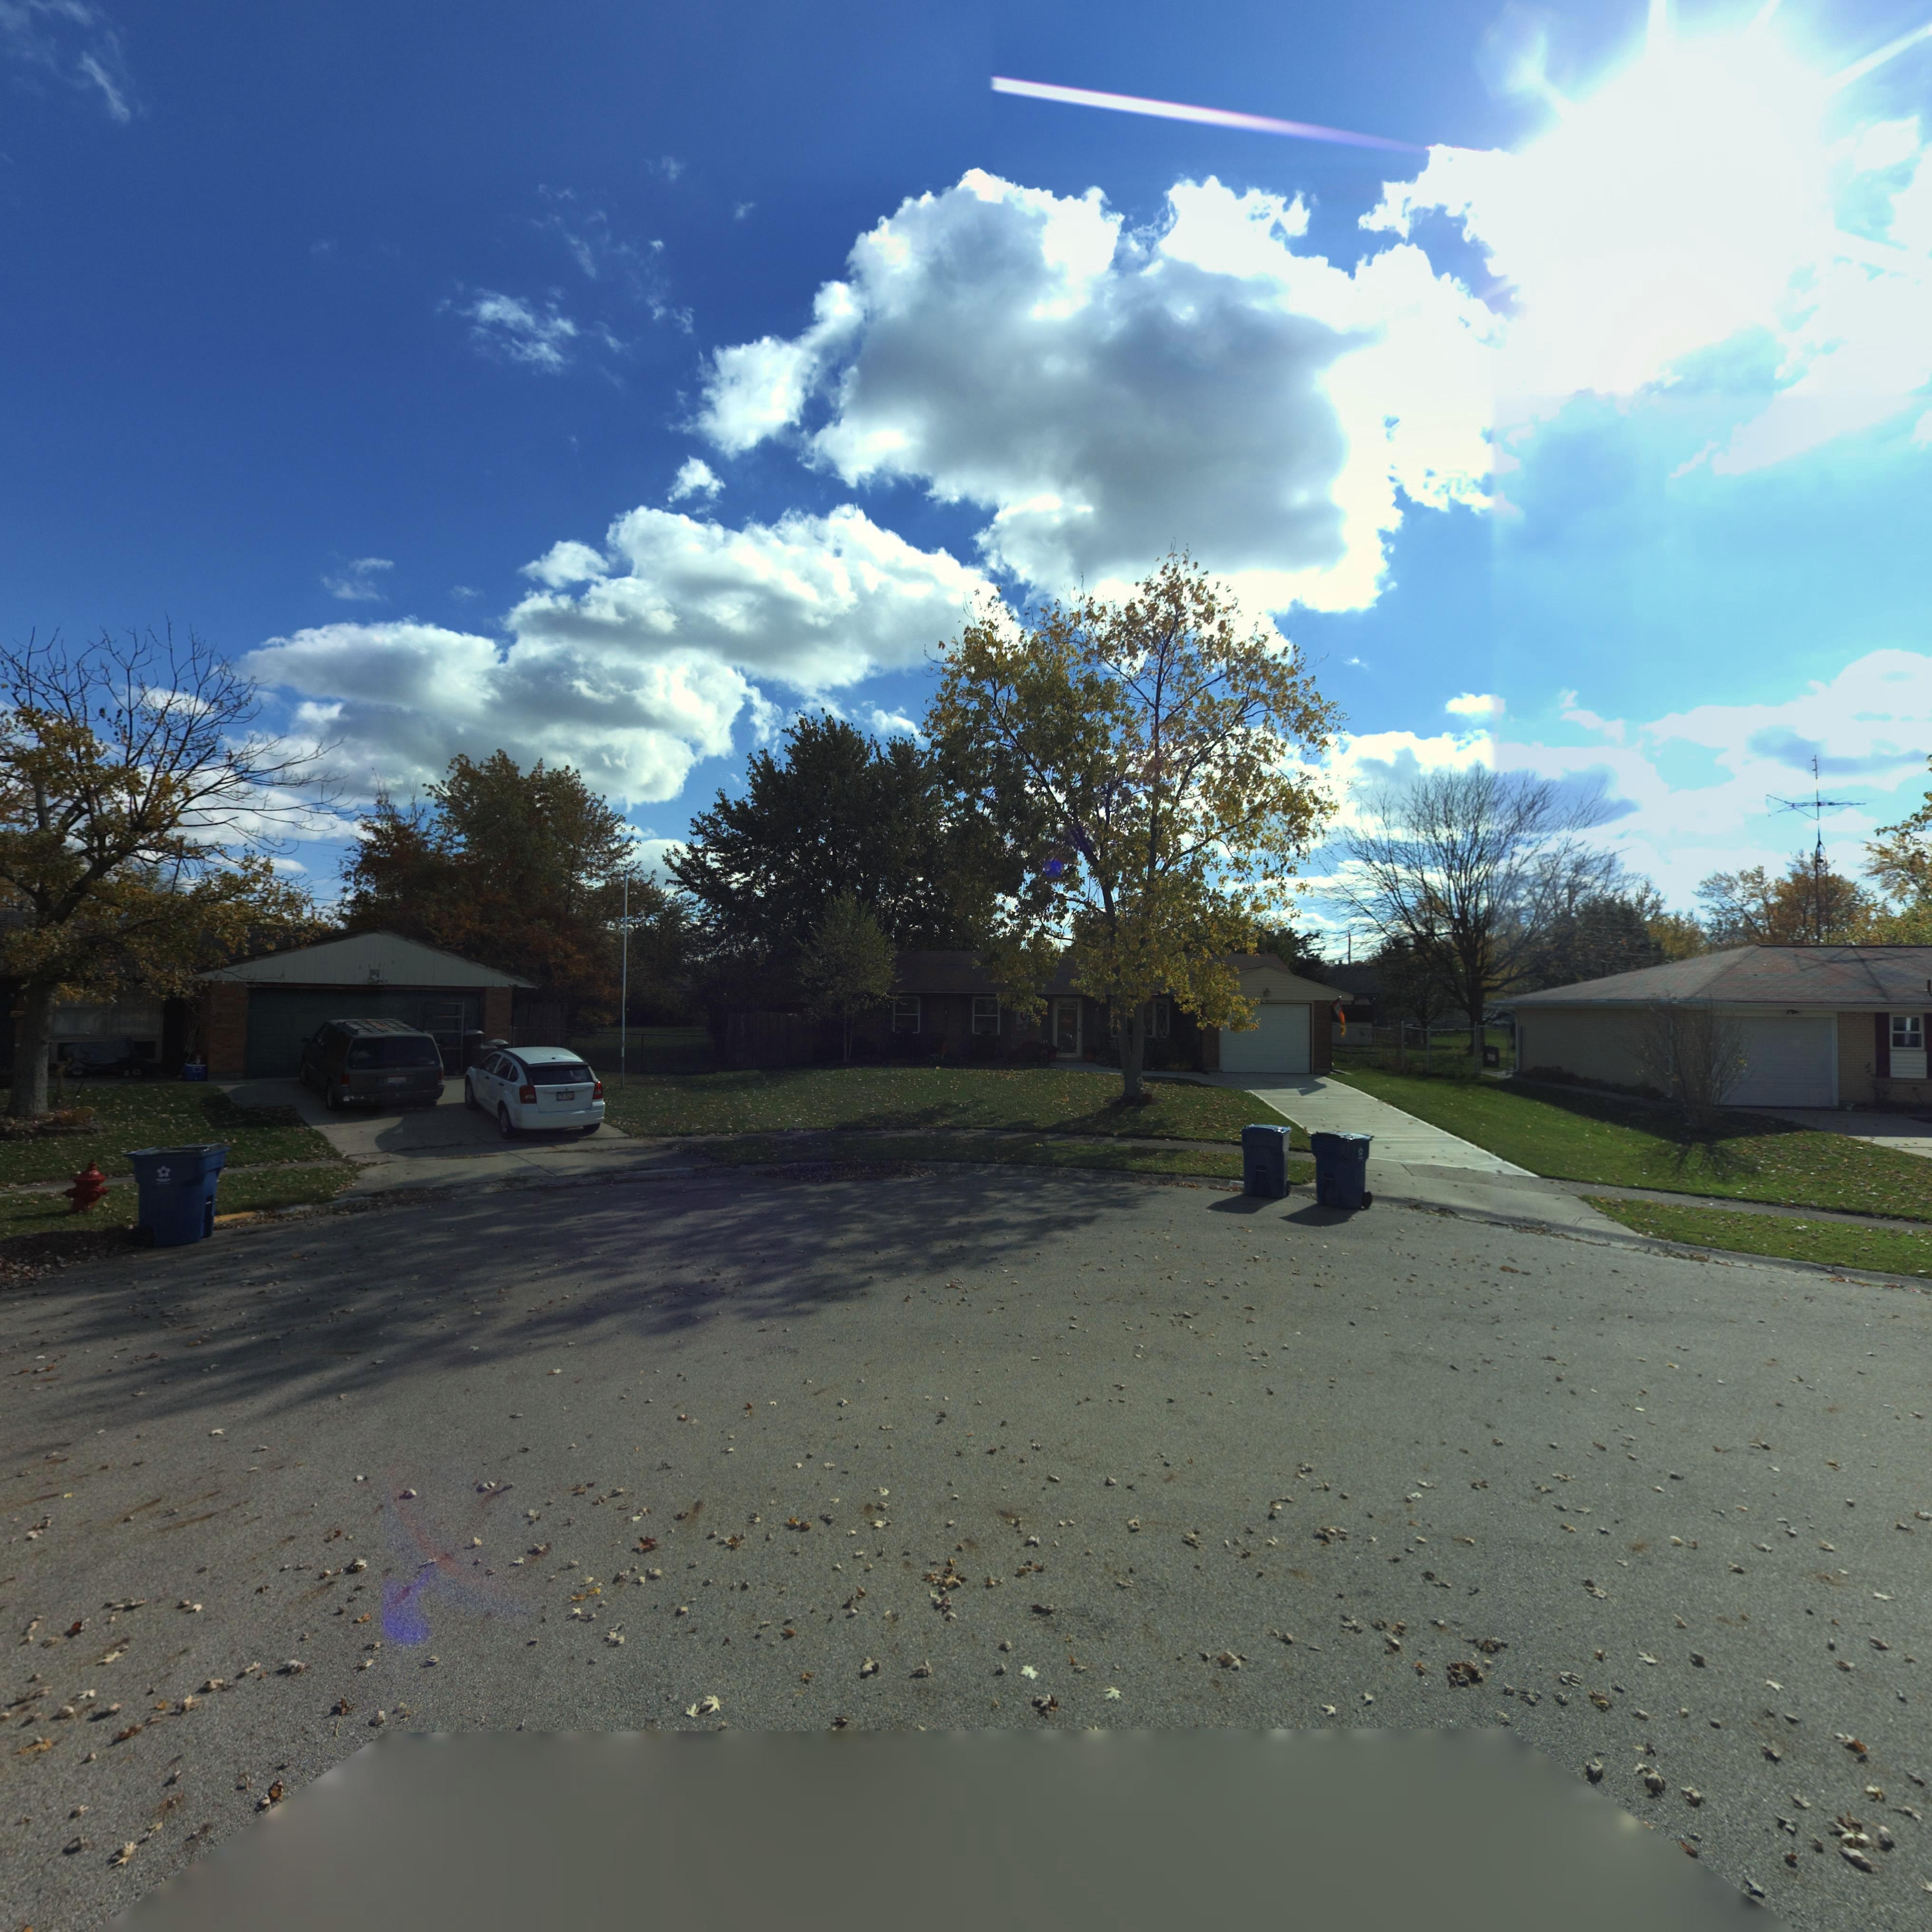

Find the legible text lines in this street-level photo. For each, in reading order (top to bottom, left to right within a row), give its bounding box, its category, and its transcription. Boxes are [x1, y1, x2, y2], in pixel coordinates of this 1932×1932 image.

[357, 959, 396, 970] StreetNumber: 6760
[1260, 999, 1271, 1003] StreetNumber: 67*0